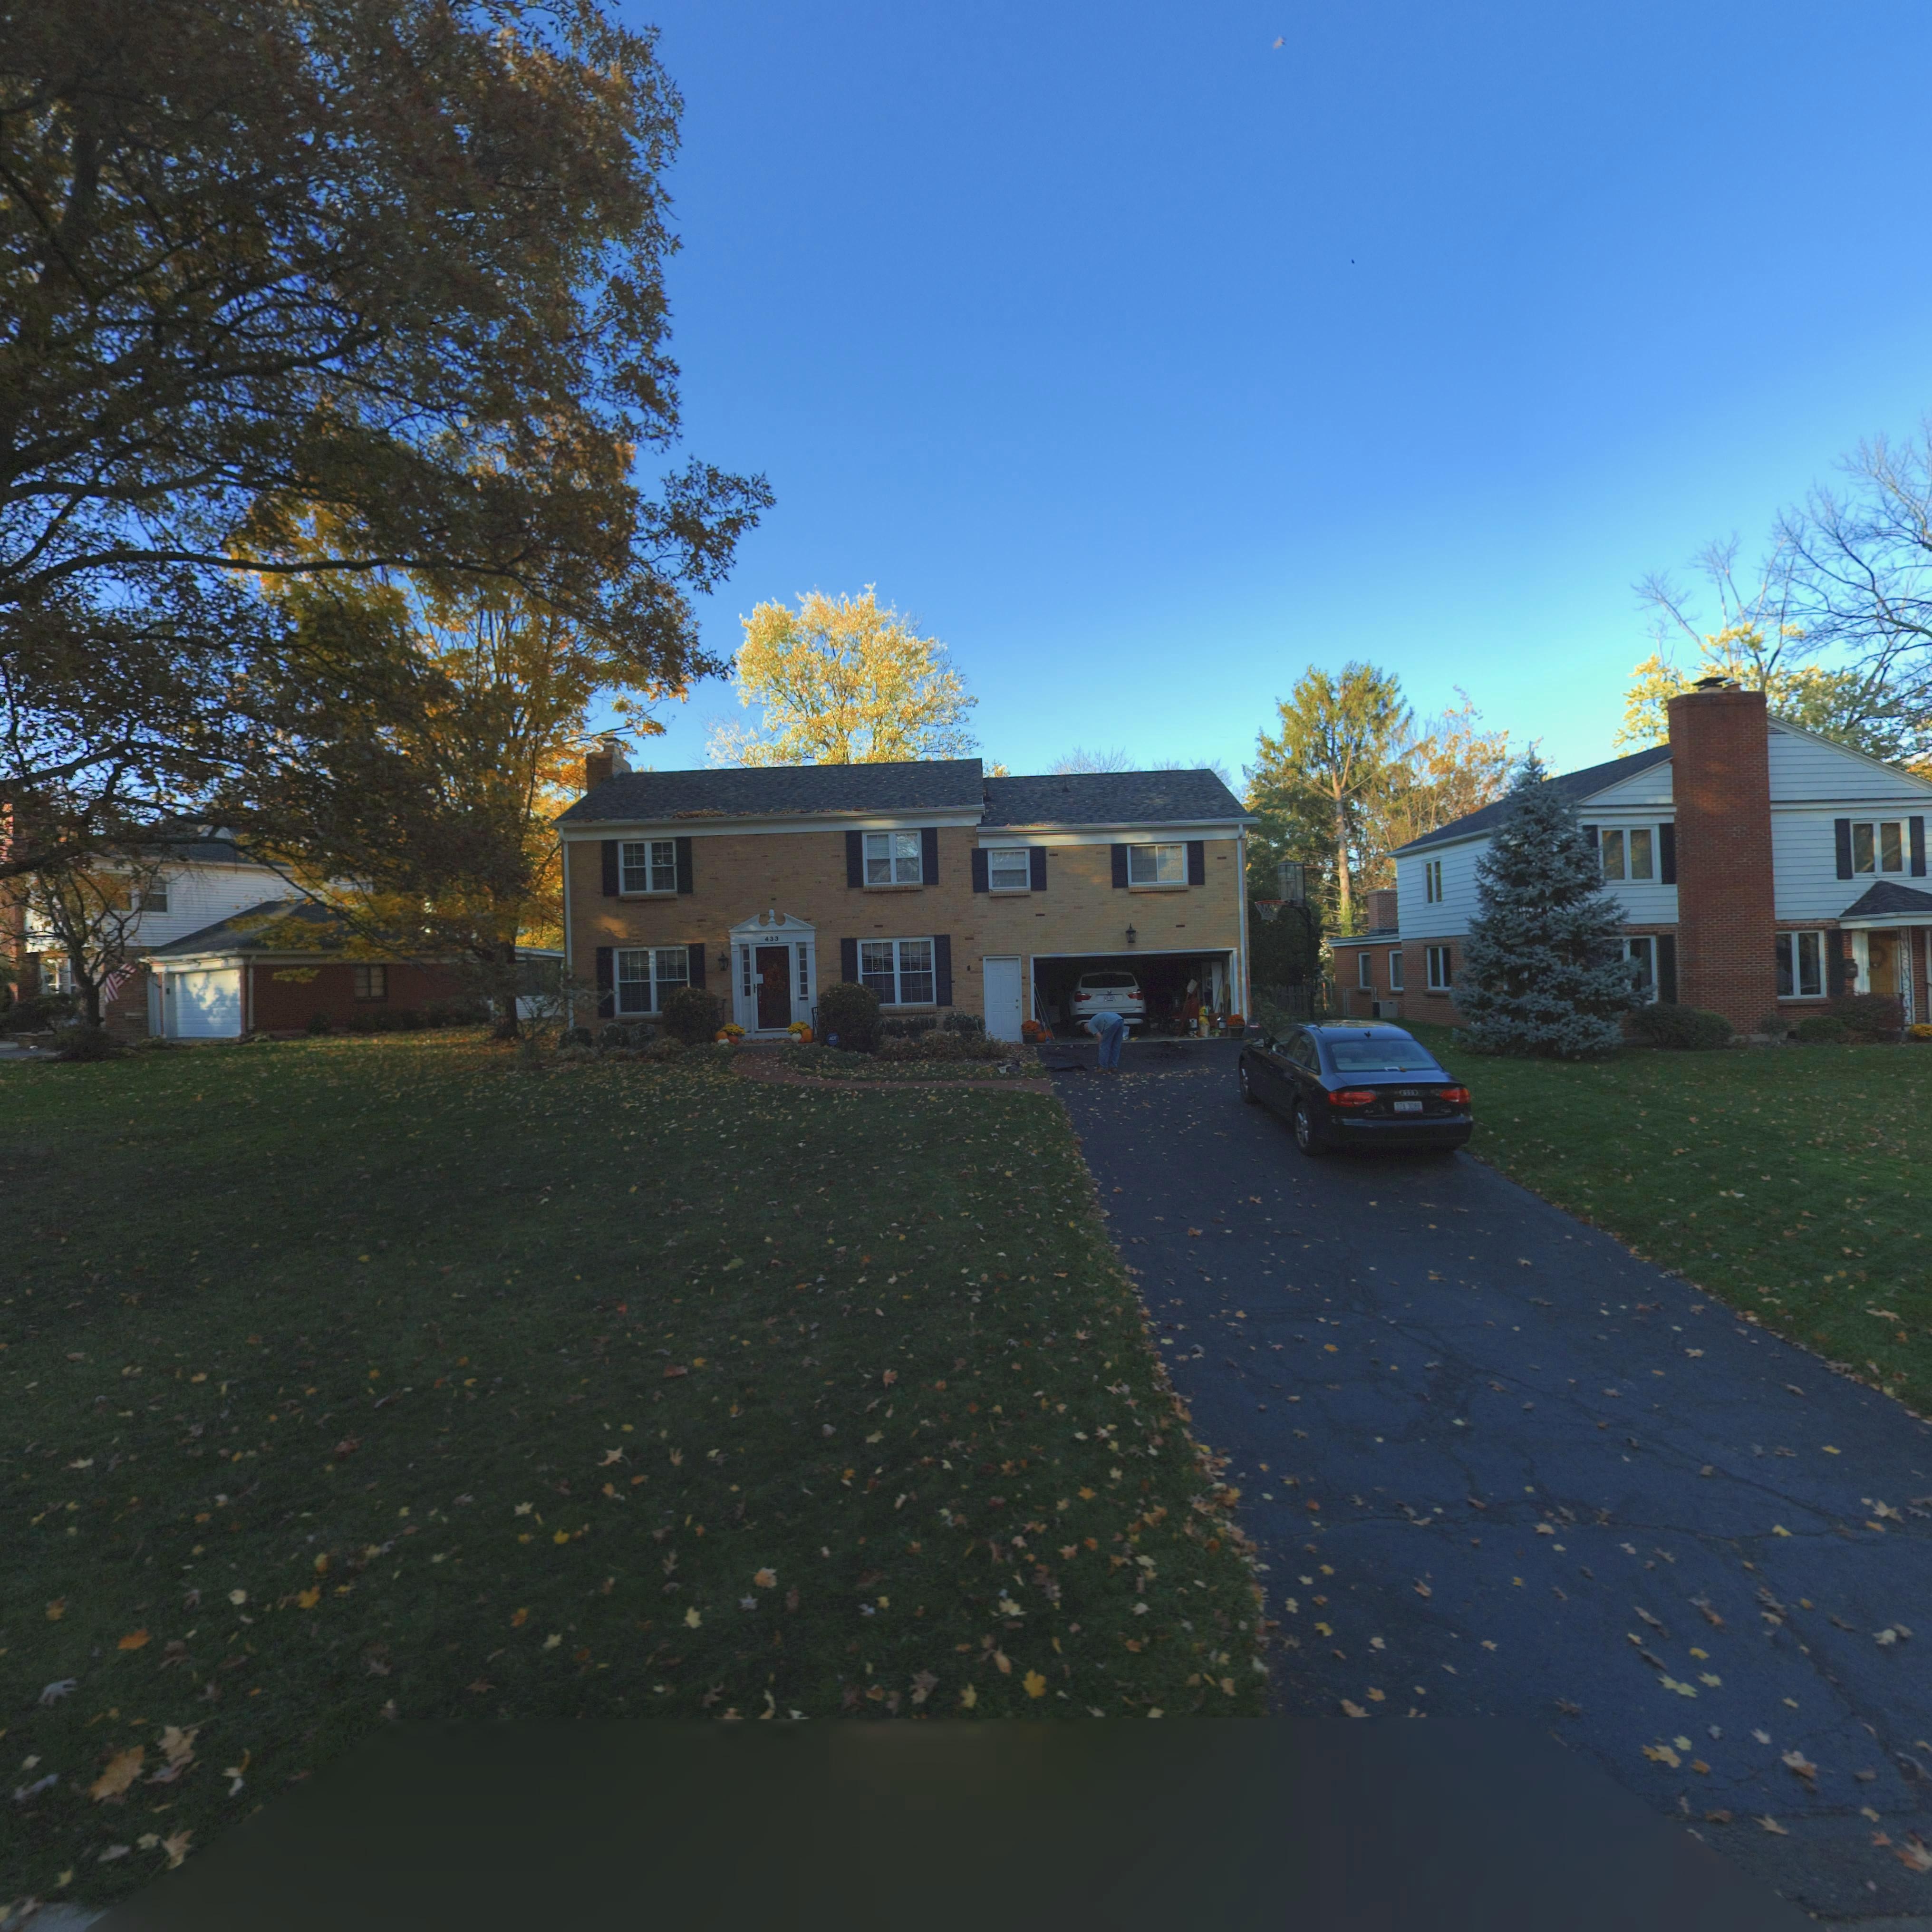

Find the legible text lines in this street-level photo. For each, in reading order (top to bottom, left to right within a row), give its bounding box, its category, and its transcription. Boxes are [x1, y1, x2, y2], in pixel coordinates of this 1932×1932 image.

[763, 935, 779, 942] StreetNumber: 433